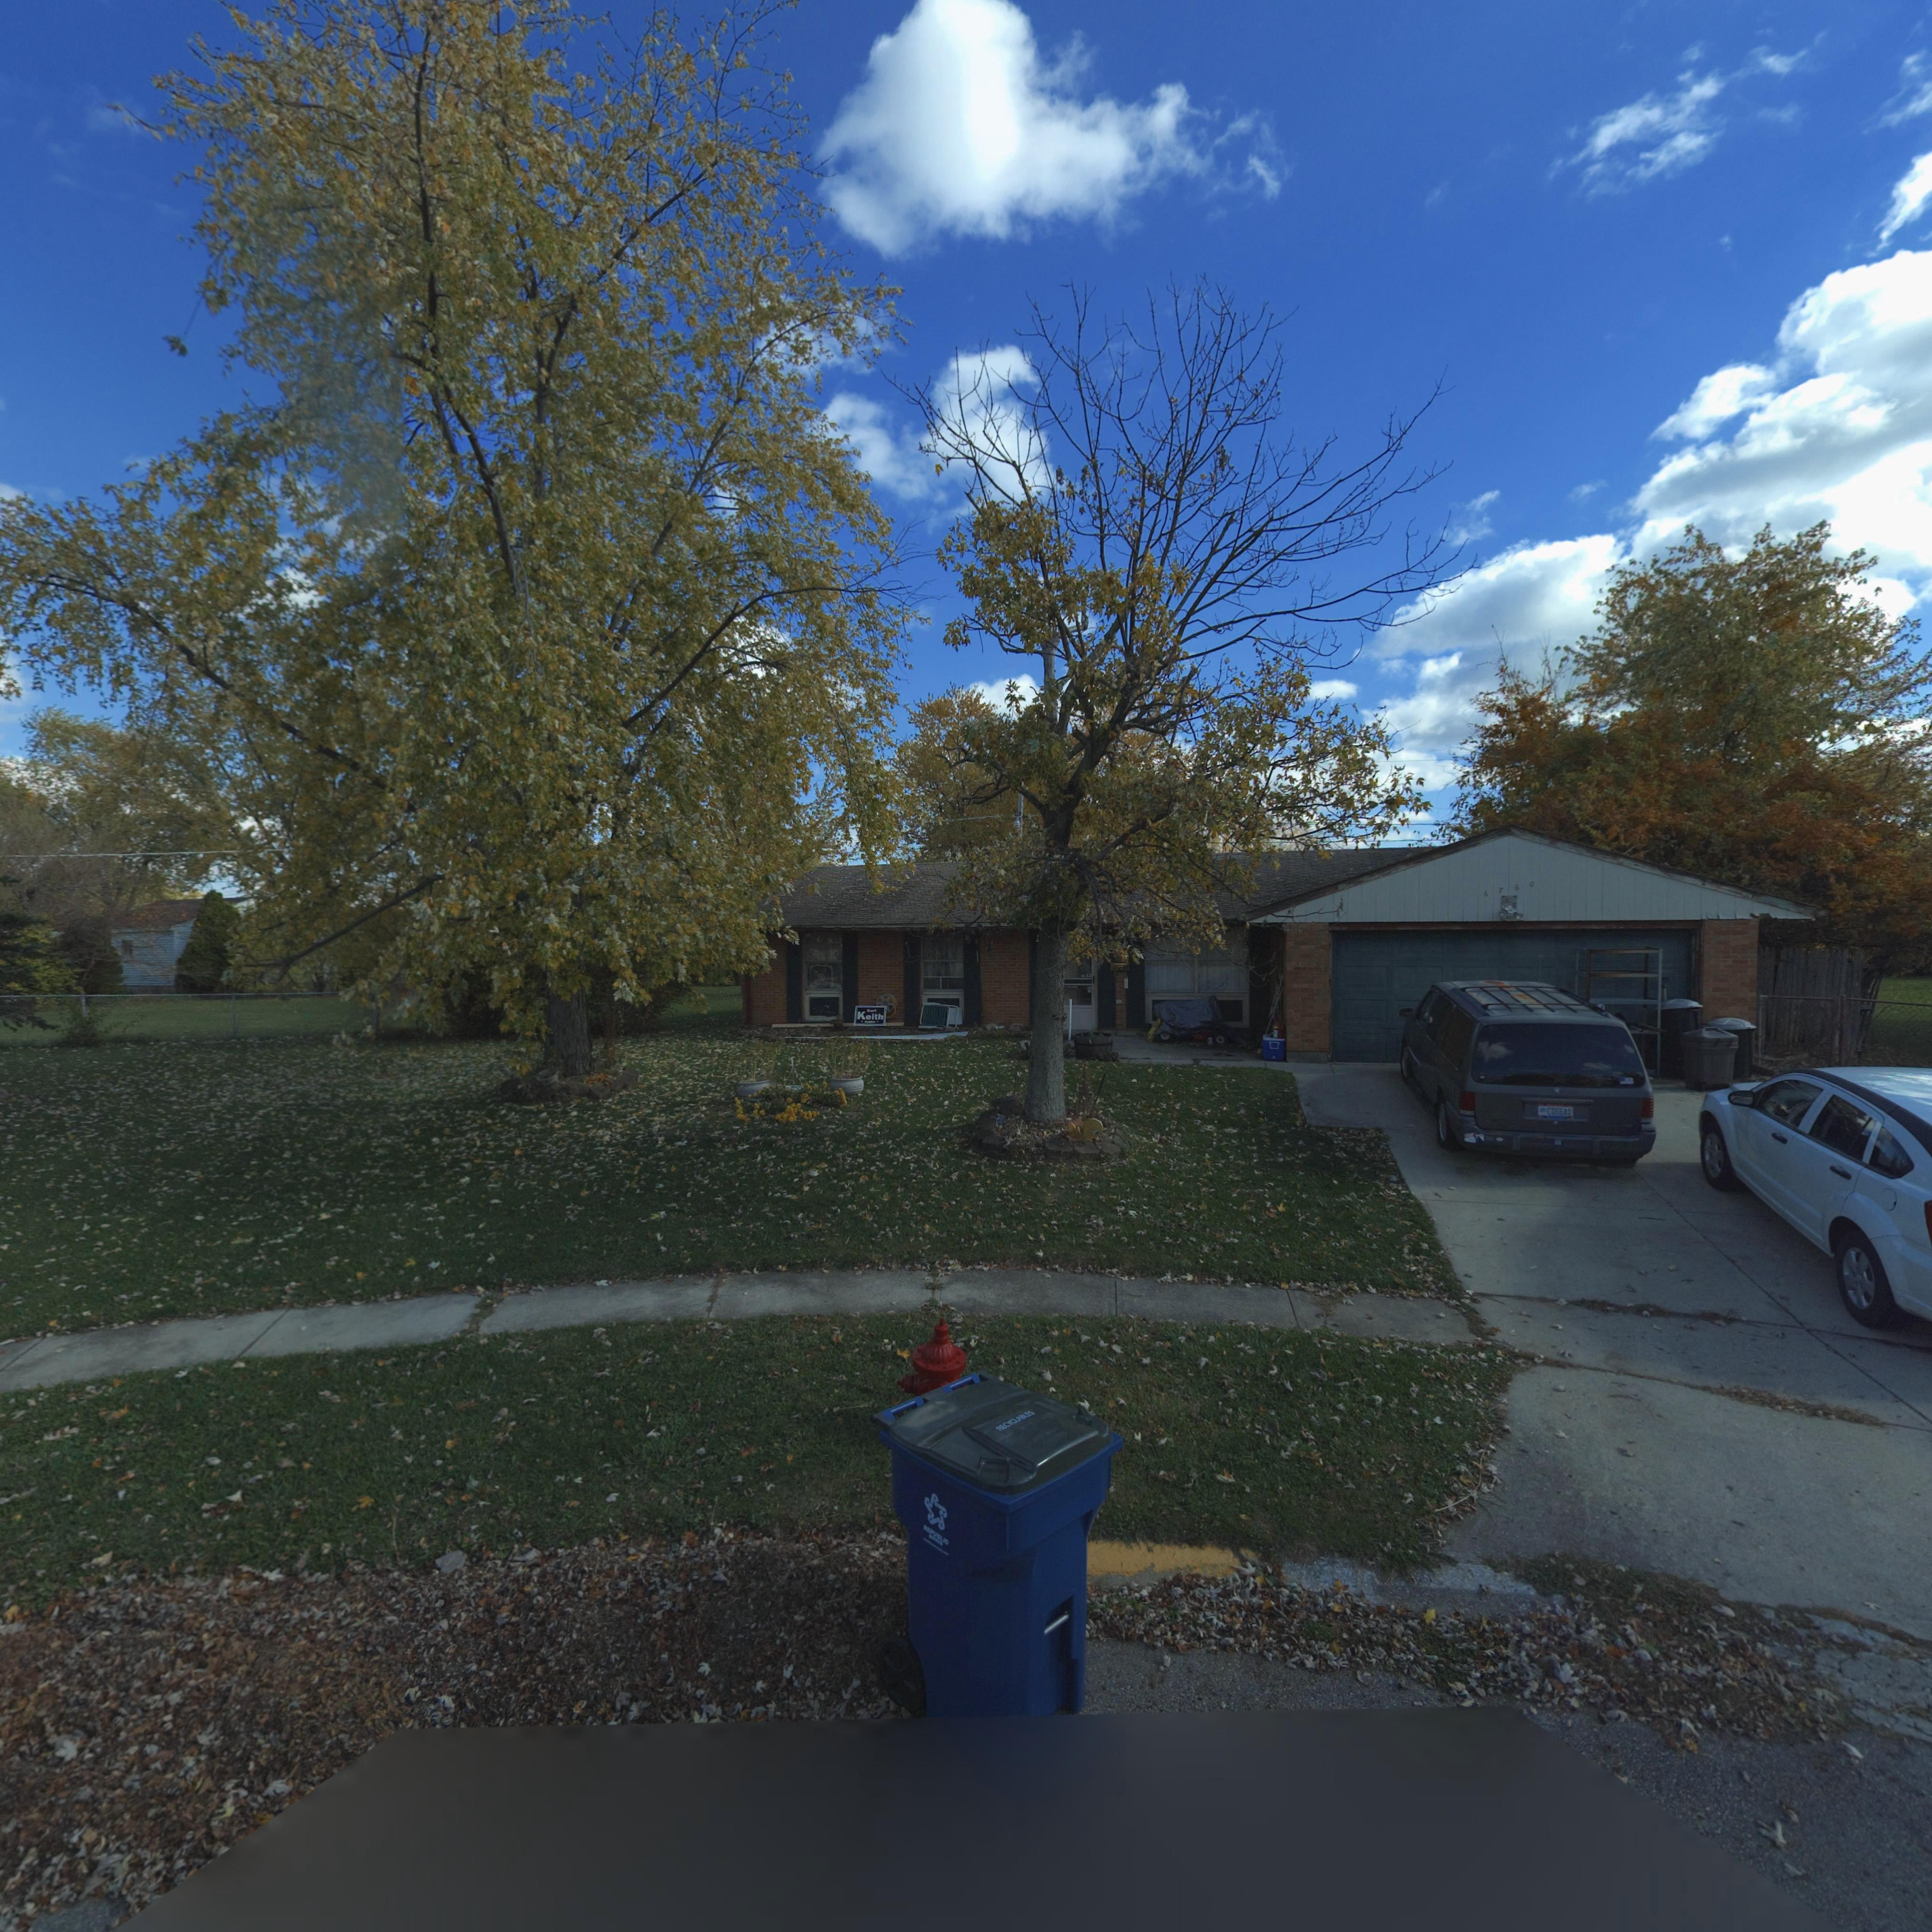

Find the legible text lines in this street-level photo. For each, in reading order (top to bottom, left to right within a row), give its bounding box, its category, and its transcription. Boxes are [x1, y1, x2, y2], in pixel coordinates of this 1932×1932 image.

[1482, 880, 1536, 898] StreetNumber: 6760